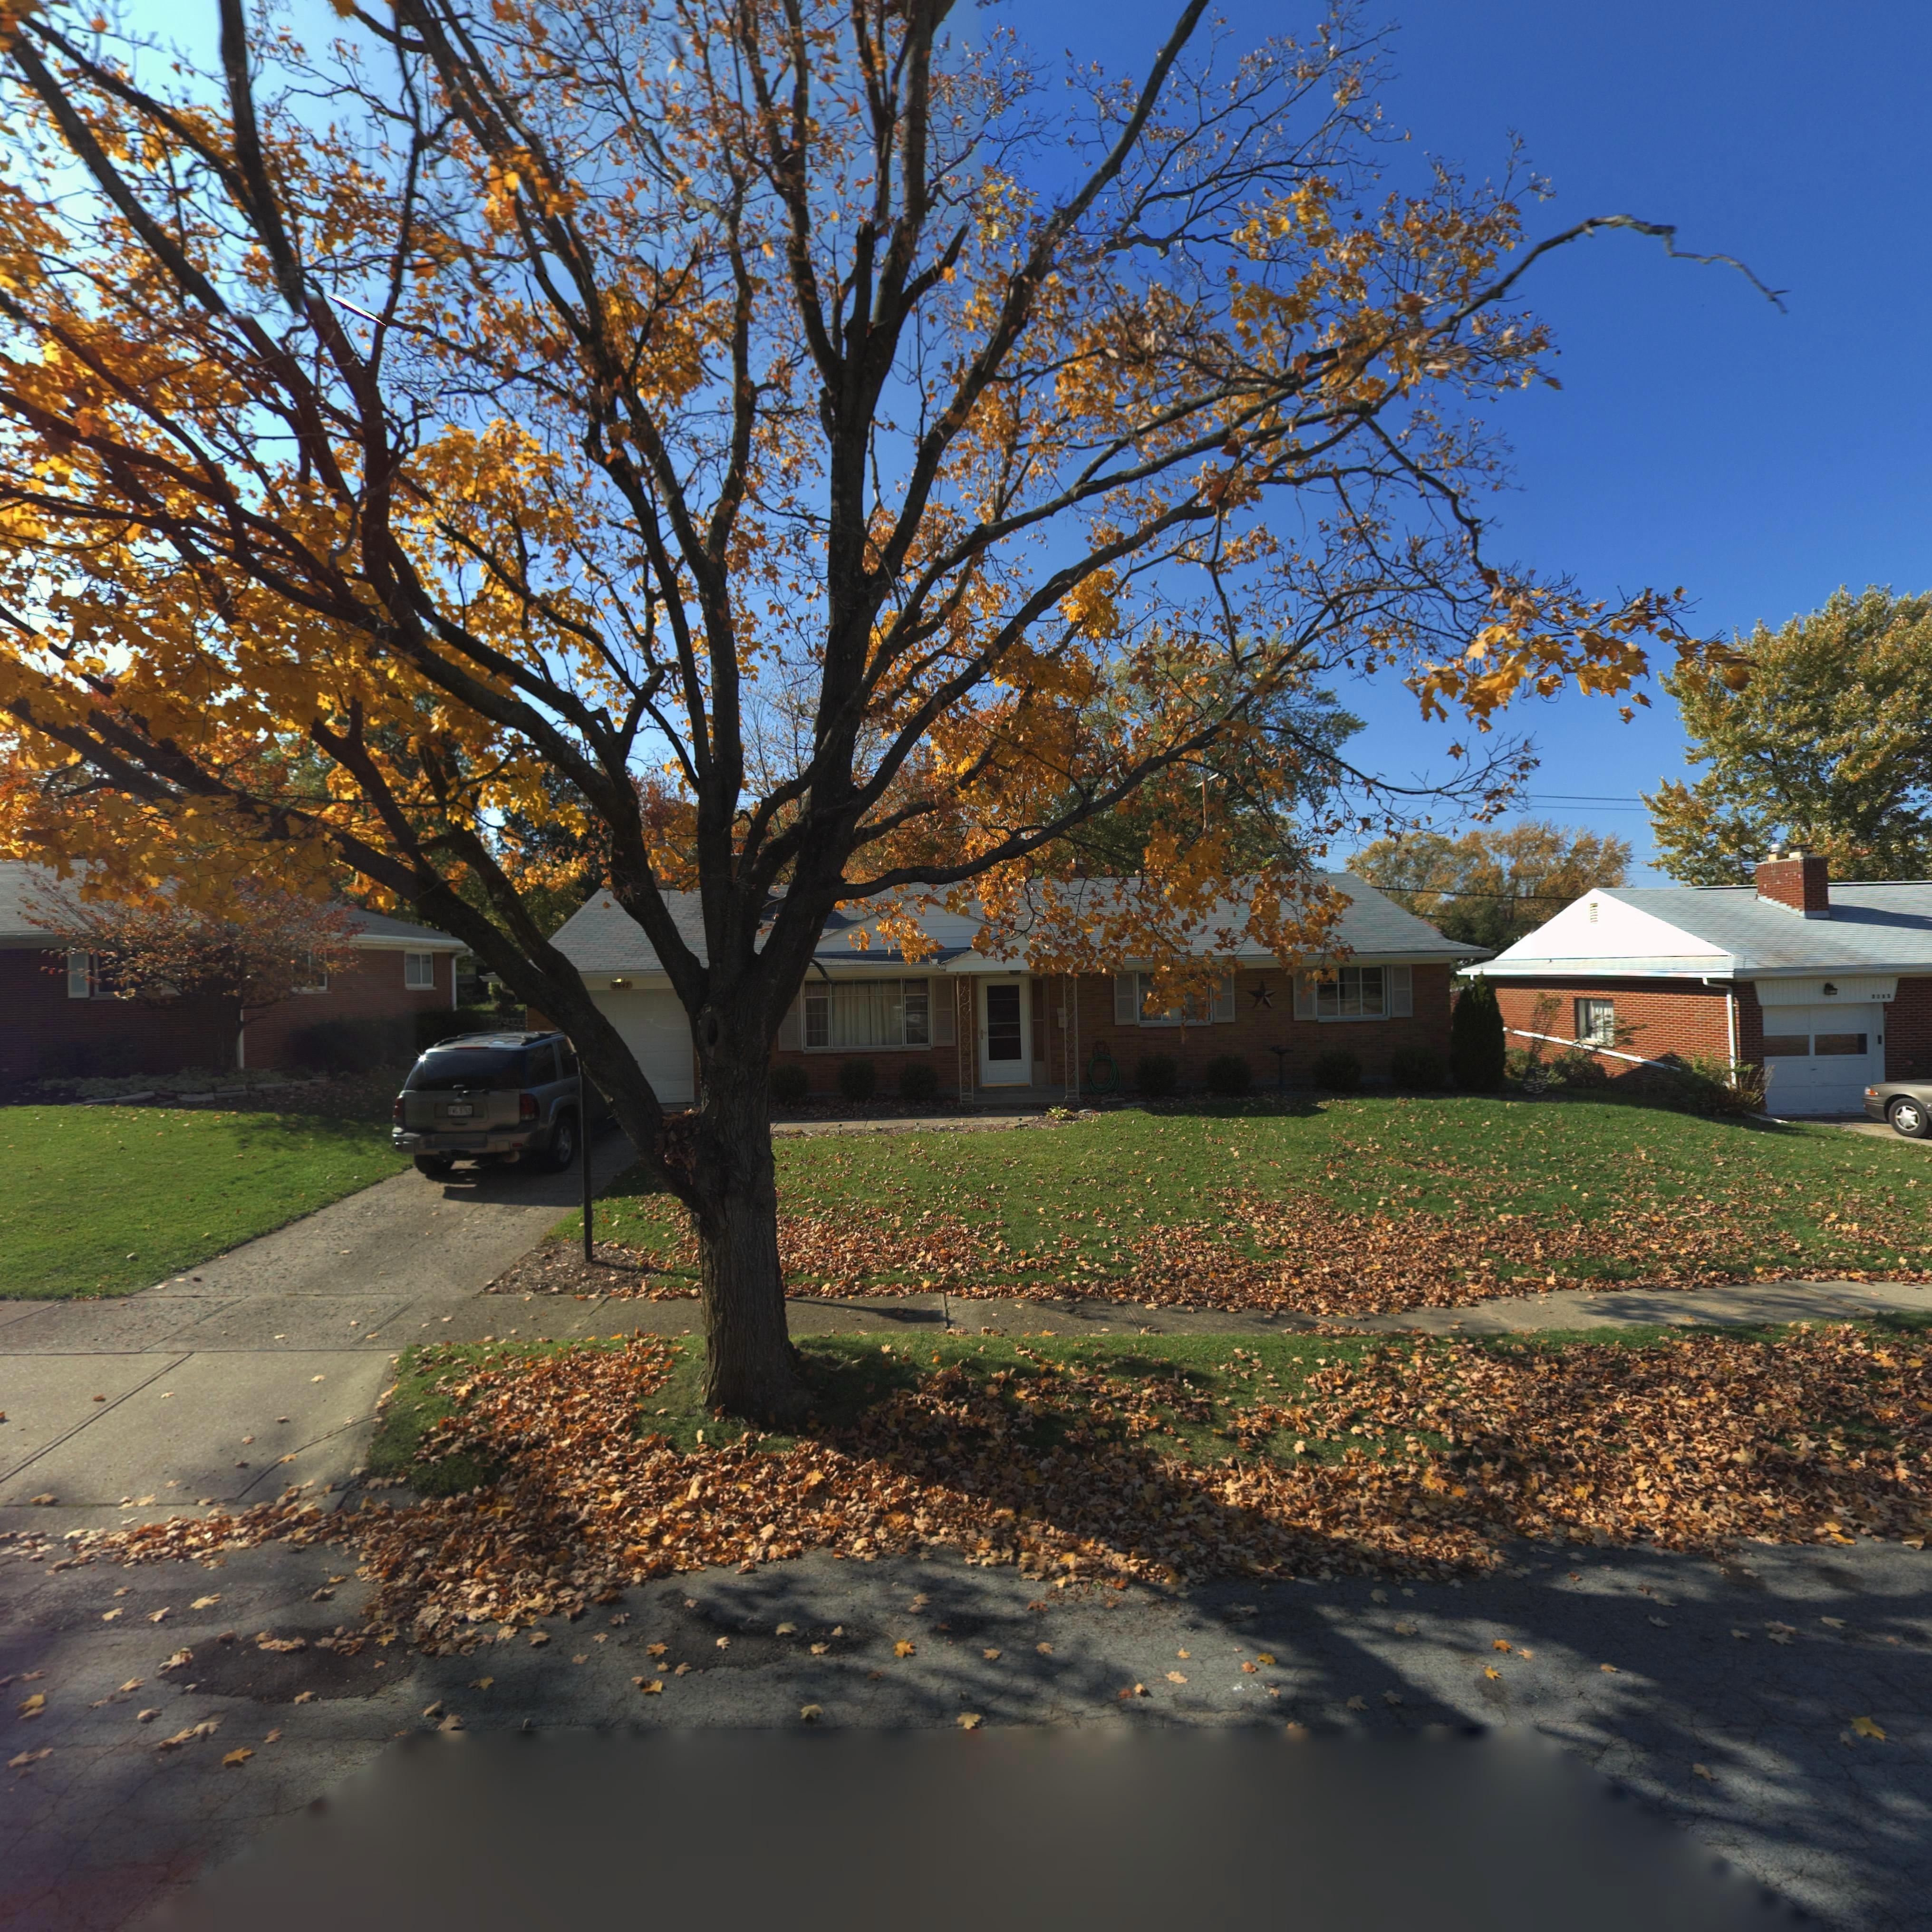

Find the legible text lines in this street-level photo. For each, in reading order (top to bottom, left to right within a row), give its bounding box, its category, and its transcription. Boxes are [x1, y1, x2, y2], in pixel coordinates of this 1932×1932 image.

[611, 982, 631, 990] StreetNumber: 3847